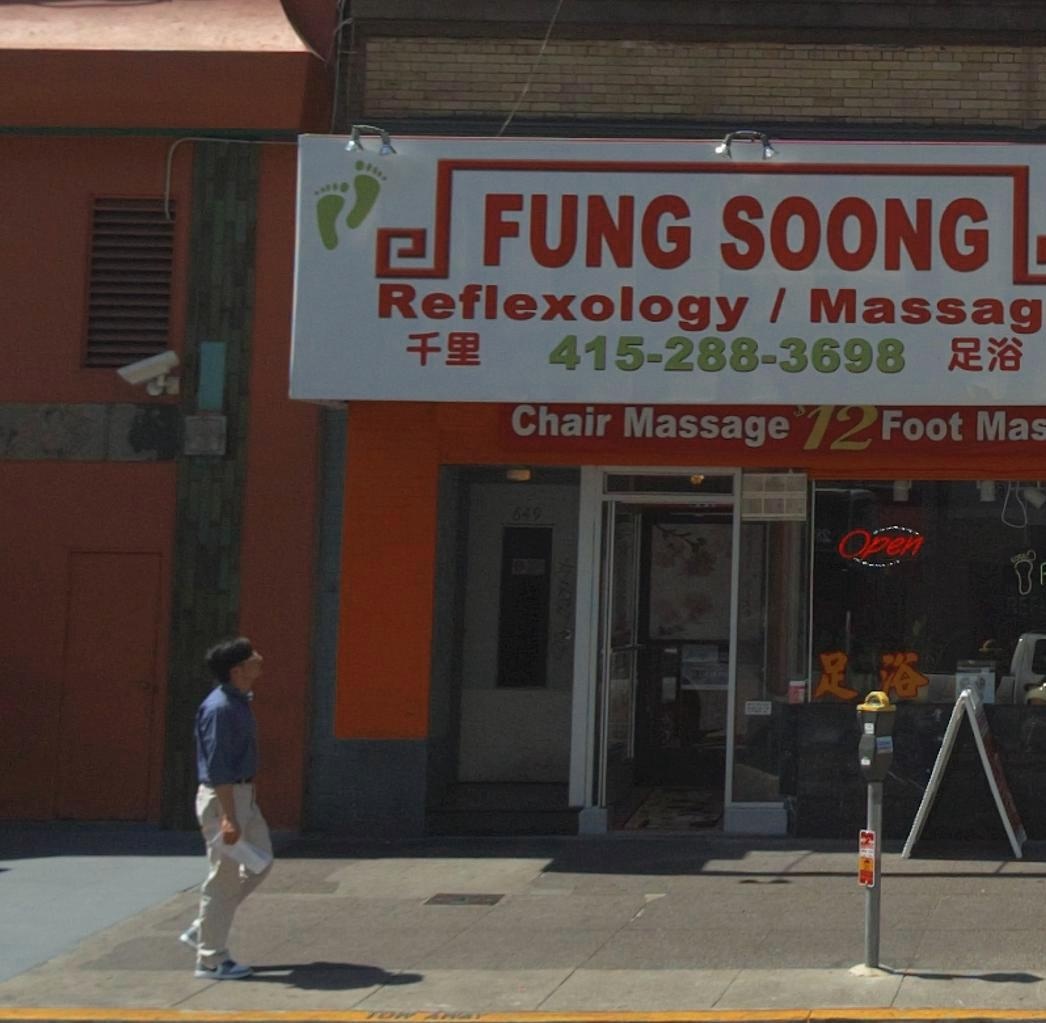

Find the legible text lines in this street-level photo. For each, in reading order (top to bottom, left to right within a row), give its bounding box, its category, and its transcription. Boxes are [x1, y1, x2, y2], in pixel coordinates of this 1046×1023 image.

[480, 190, 996, 273] BusinessName: FUNG SOONG
[375, 281, 1043, 336] None: Reflexology / Massag
[545, 332, 907, 373] None: 415-288-3698
[510, 402, 791, 449] None: Chair Massage
[796, 399, 886, 454] None: 12
[880, 408, 1030, 442] None: Foot Ma
[512, 506, 543, 522] StreetNumber: 669
[834, 528, 929, 565] None: Open